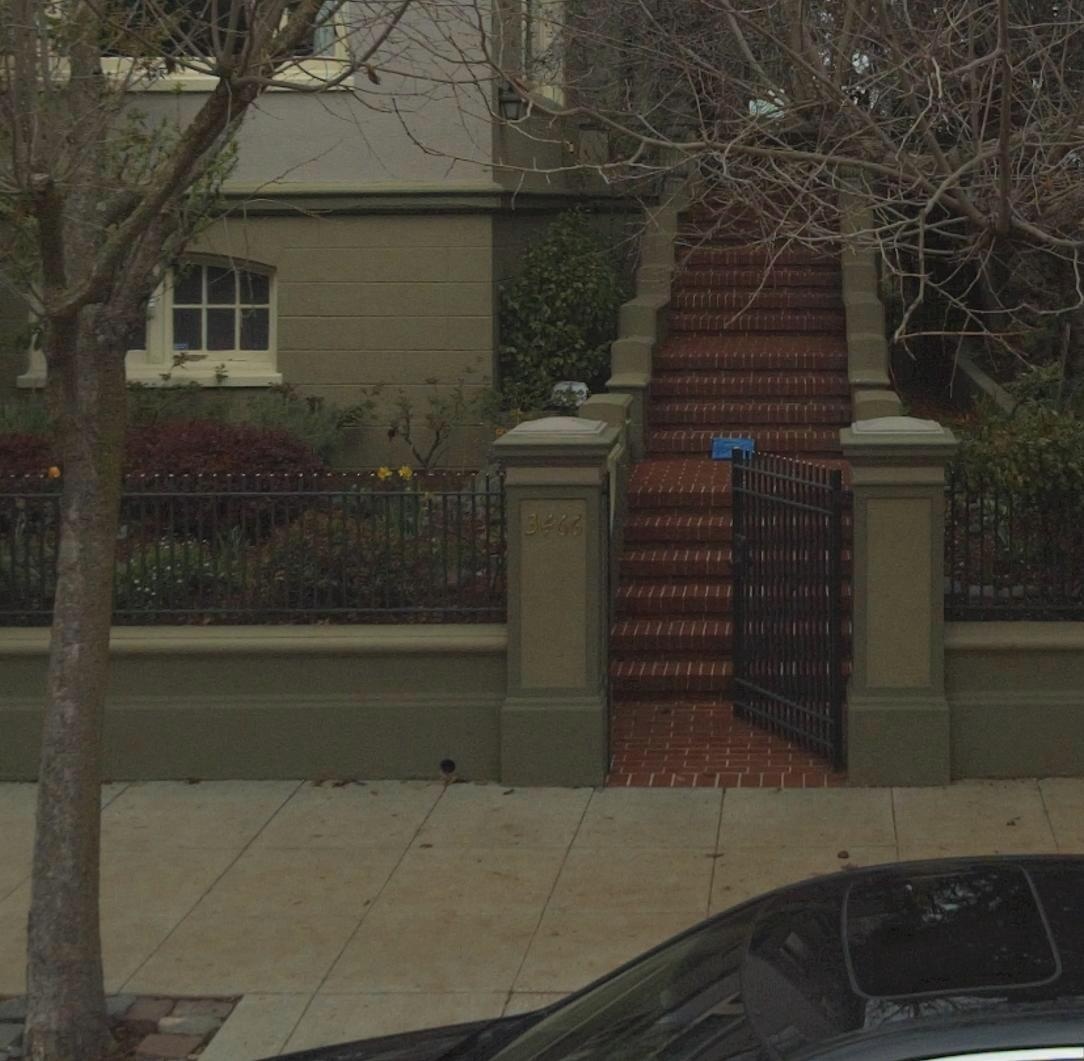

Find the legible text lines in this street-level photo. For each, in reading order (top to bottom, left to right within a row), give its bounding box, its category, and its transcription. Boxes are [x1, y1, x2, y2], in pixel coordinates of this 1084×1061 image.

[523, 512, 584, 538] StreetNumber: 3466